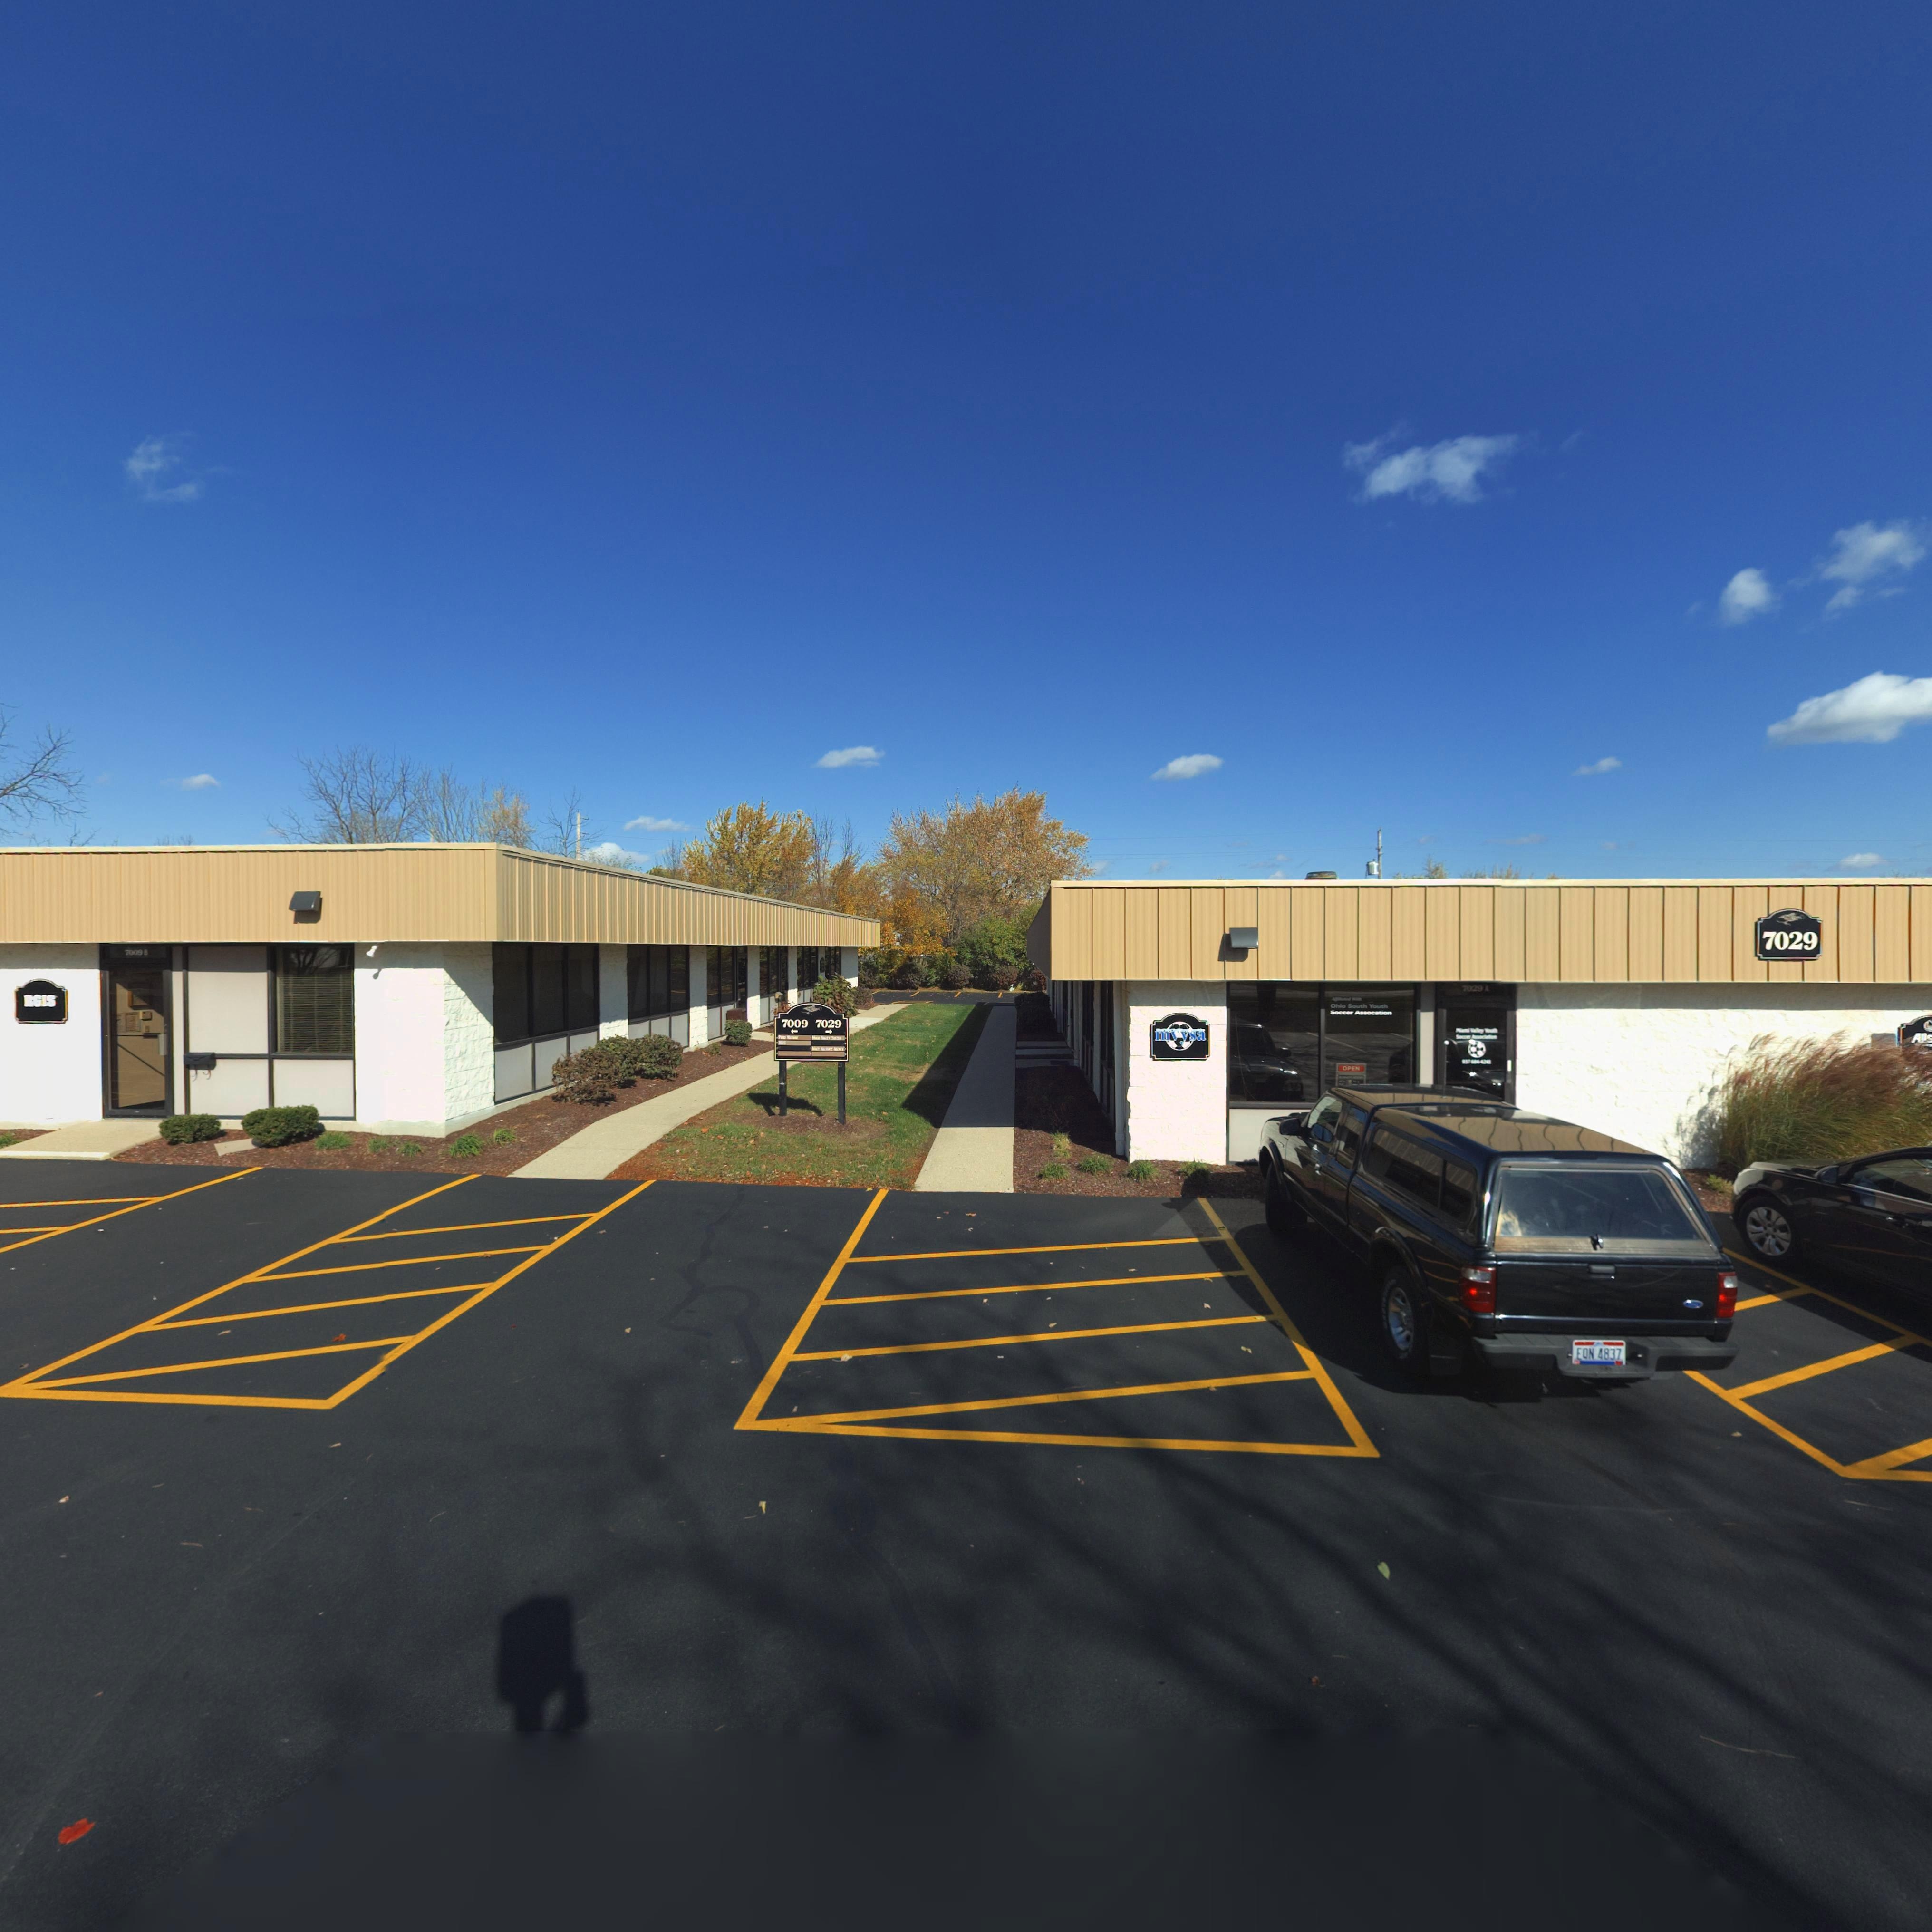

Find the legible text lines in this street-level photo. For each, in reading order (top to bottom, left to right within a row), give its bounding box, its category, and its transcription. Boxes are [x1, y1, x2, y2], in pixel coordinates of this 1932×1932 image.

[1760, 929, 1820, 953] StreetNumber: 7029
[124, 948, 150, 957] StreetNumber: 7009 *
[1460, 984, 1491, 993] StreetNumber: 7029 A
[780, 1018, 810, 1030] StreetNumber: 7009
[814, 1018, 843, 1029] StreetNumber: 7029